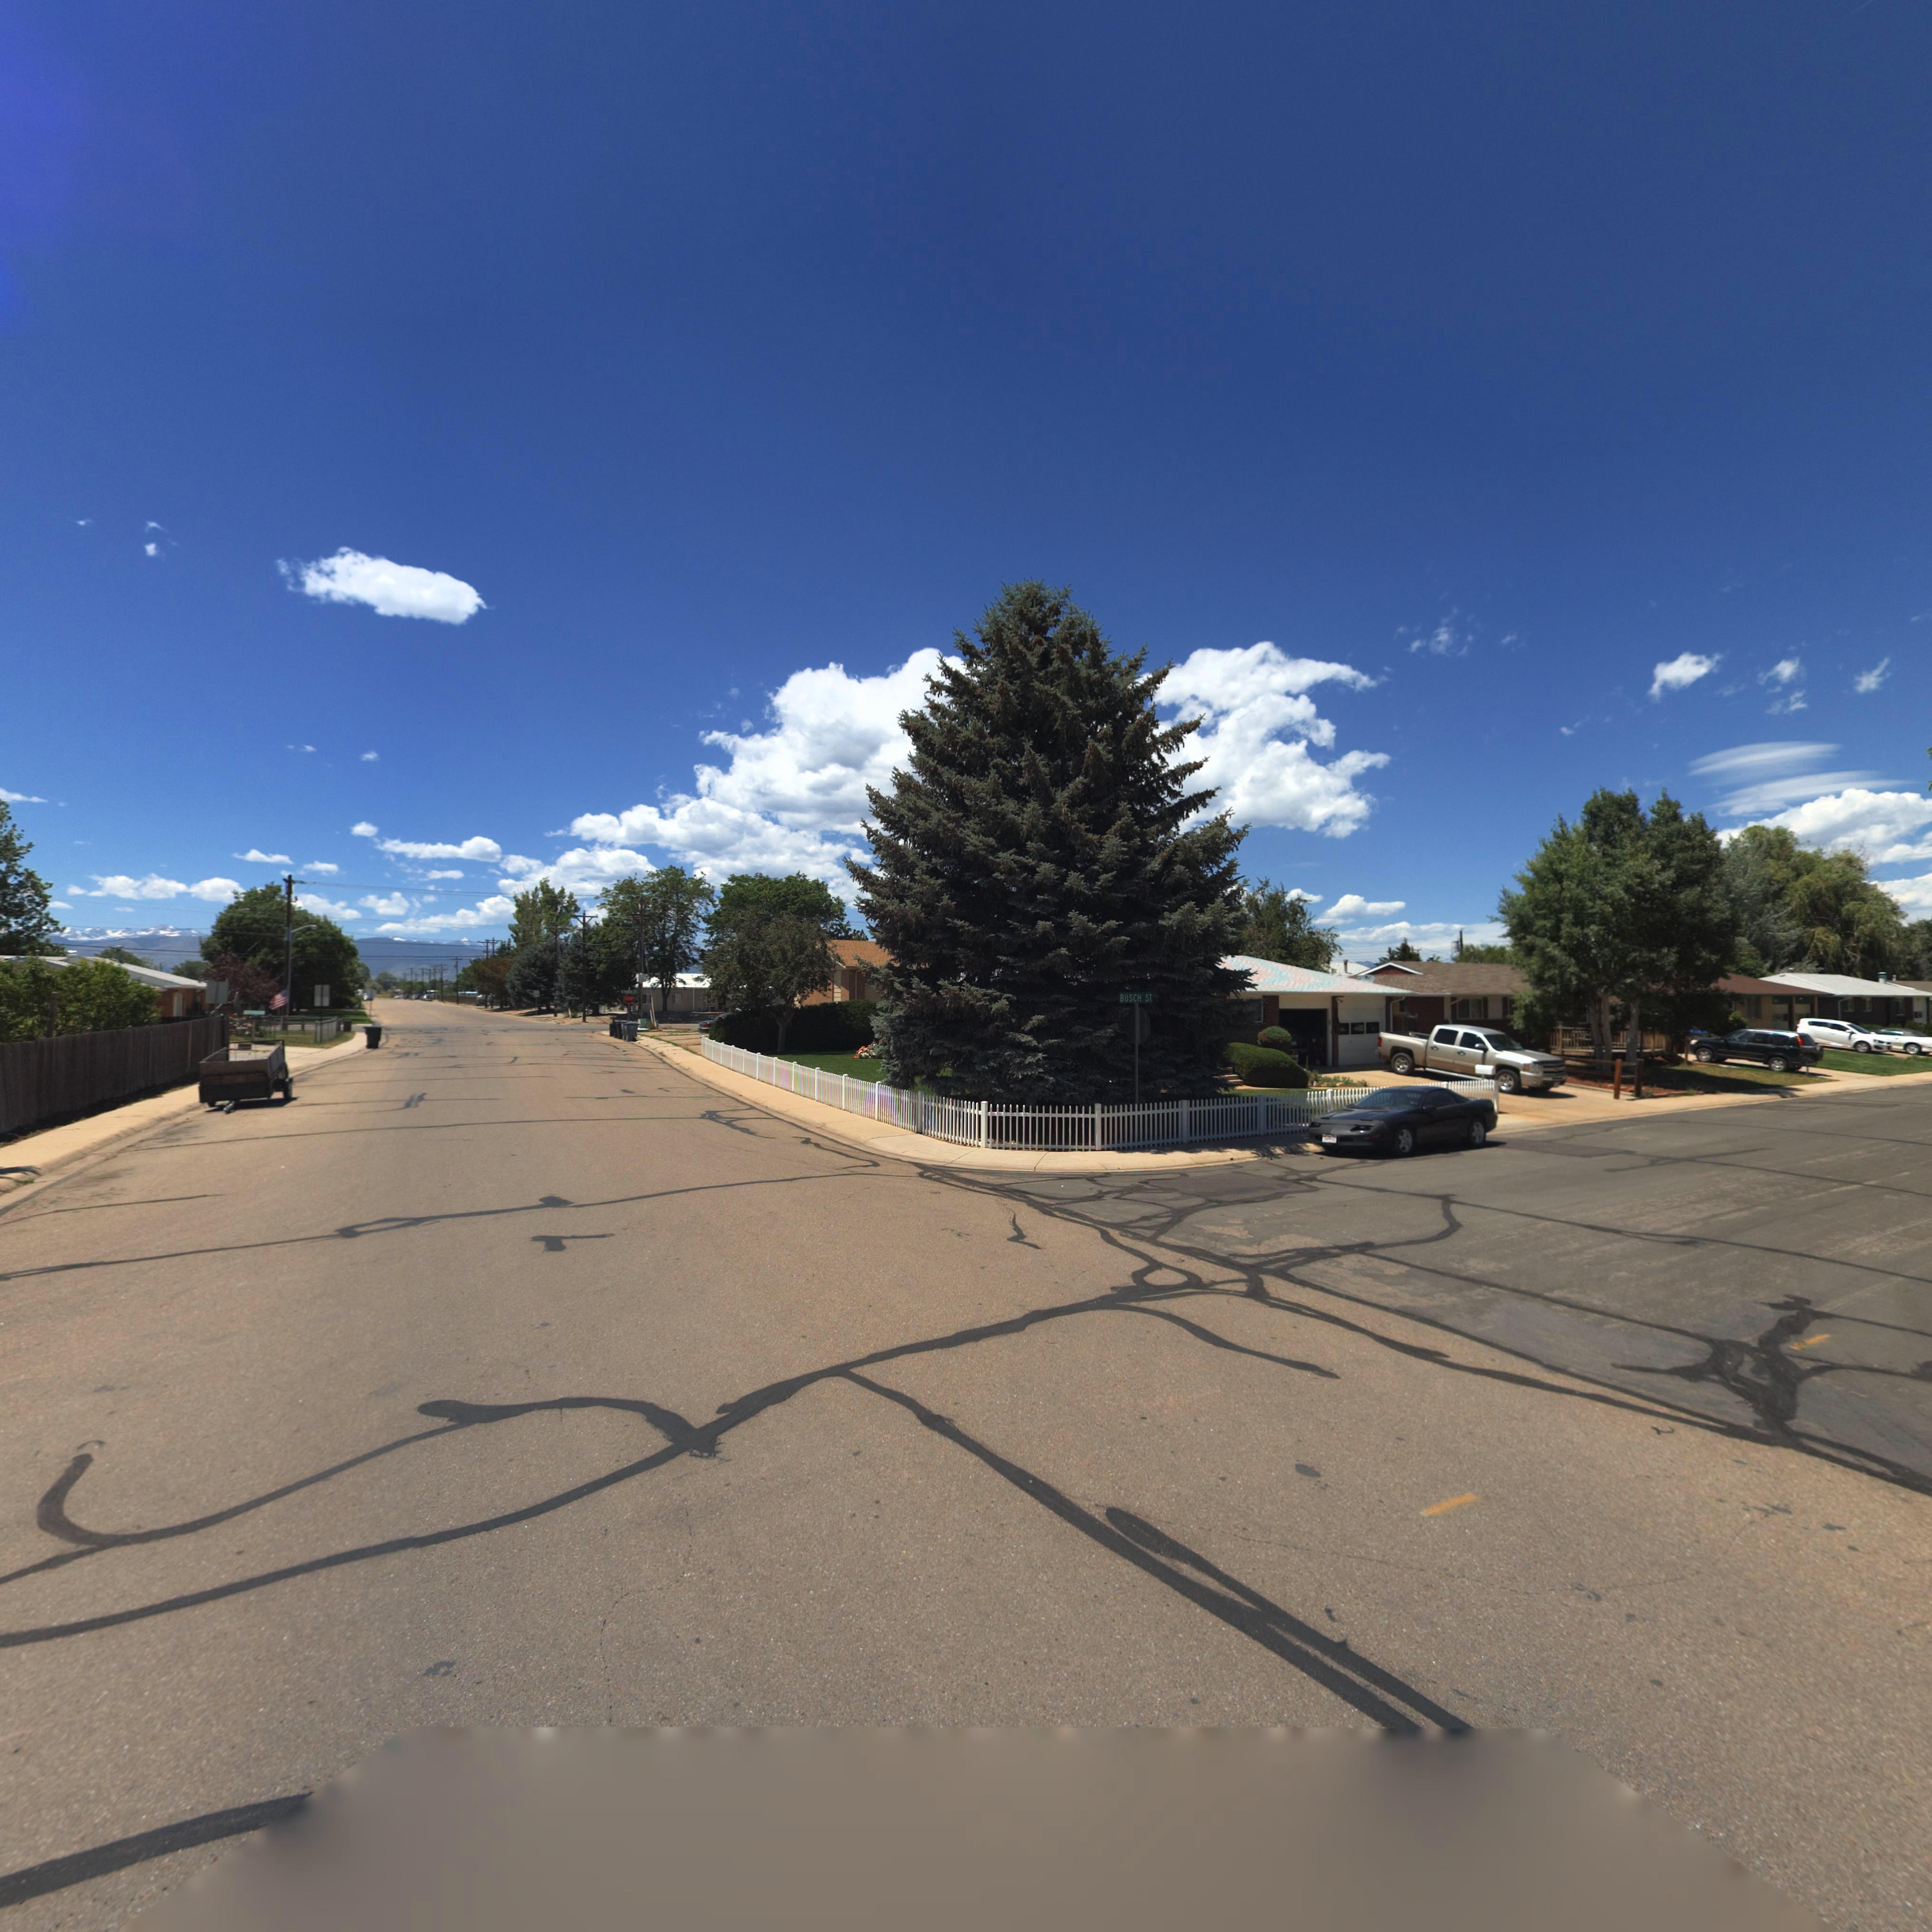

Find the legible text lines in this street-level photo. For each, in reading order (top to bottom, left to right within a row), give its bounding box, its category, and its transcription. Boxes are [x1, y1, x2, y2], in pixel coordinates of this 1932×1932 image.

[1120, 994, 1152, 1002] StreetName: BUSCH ST